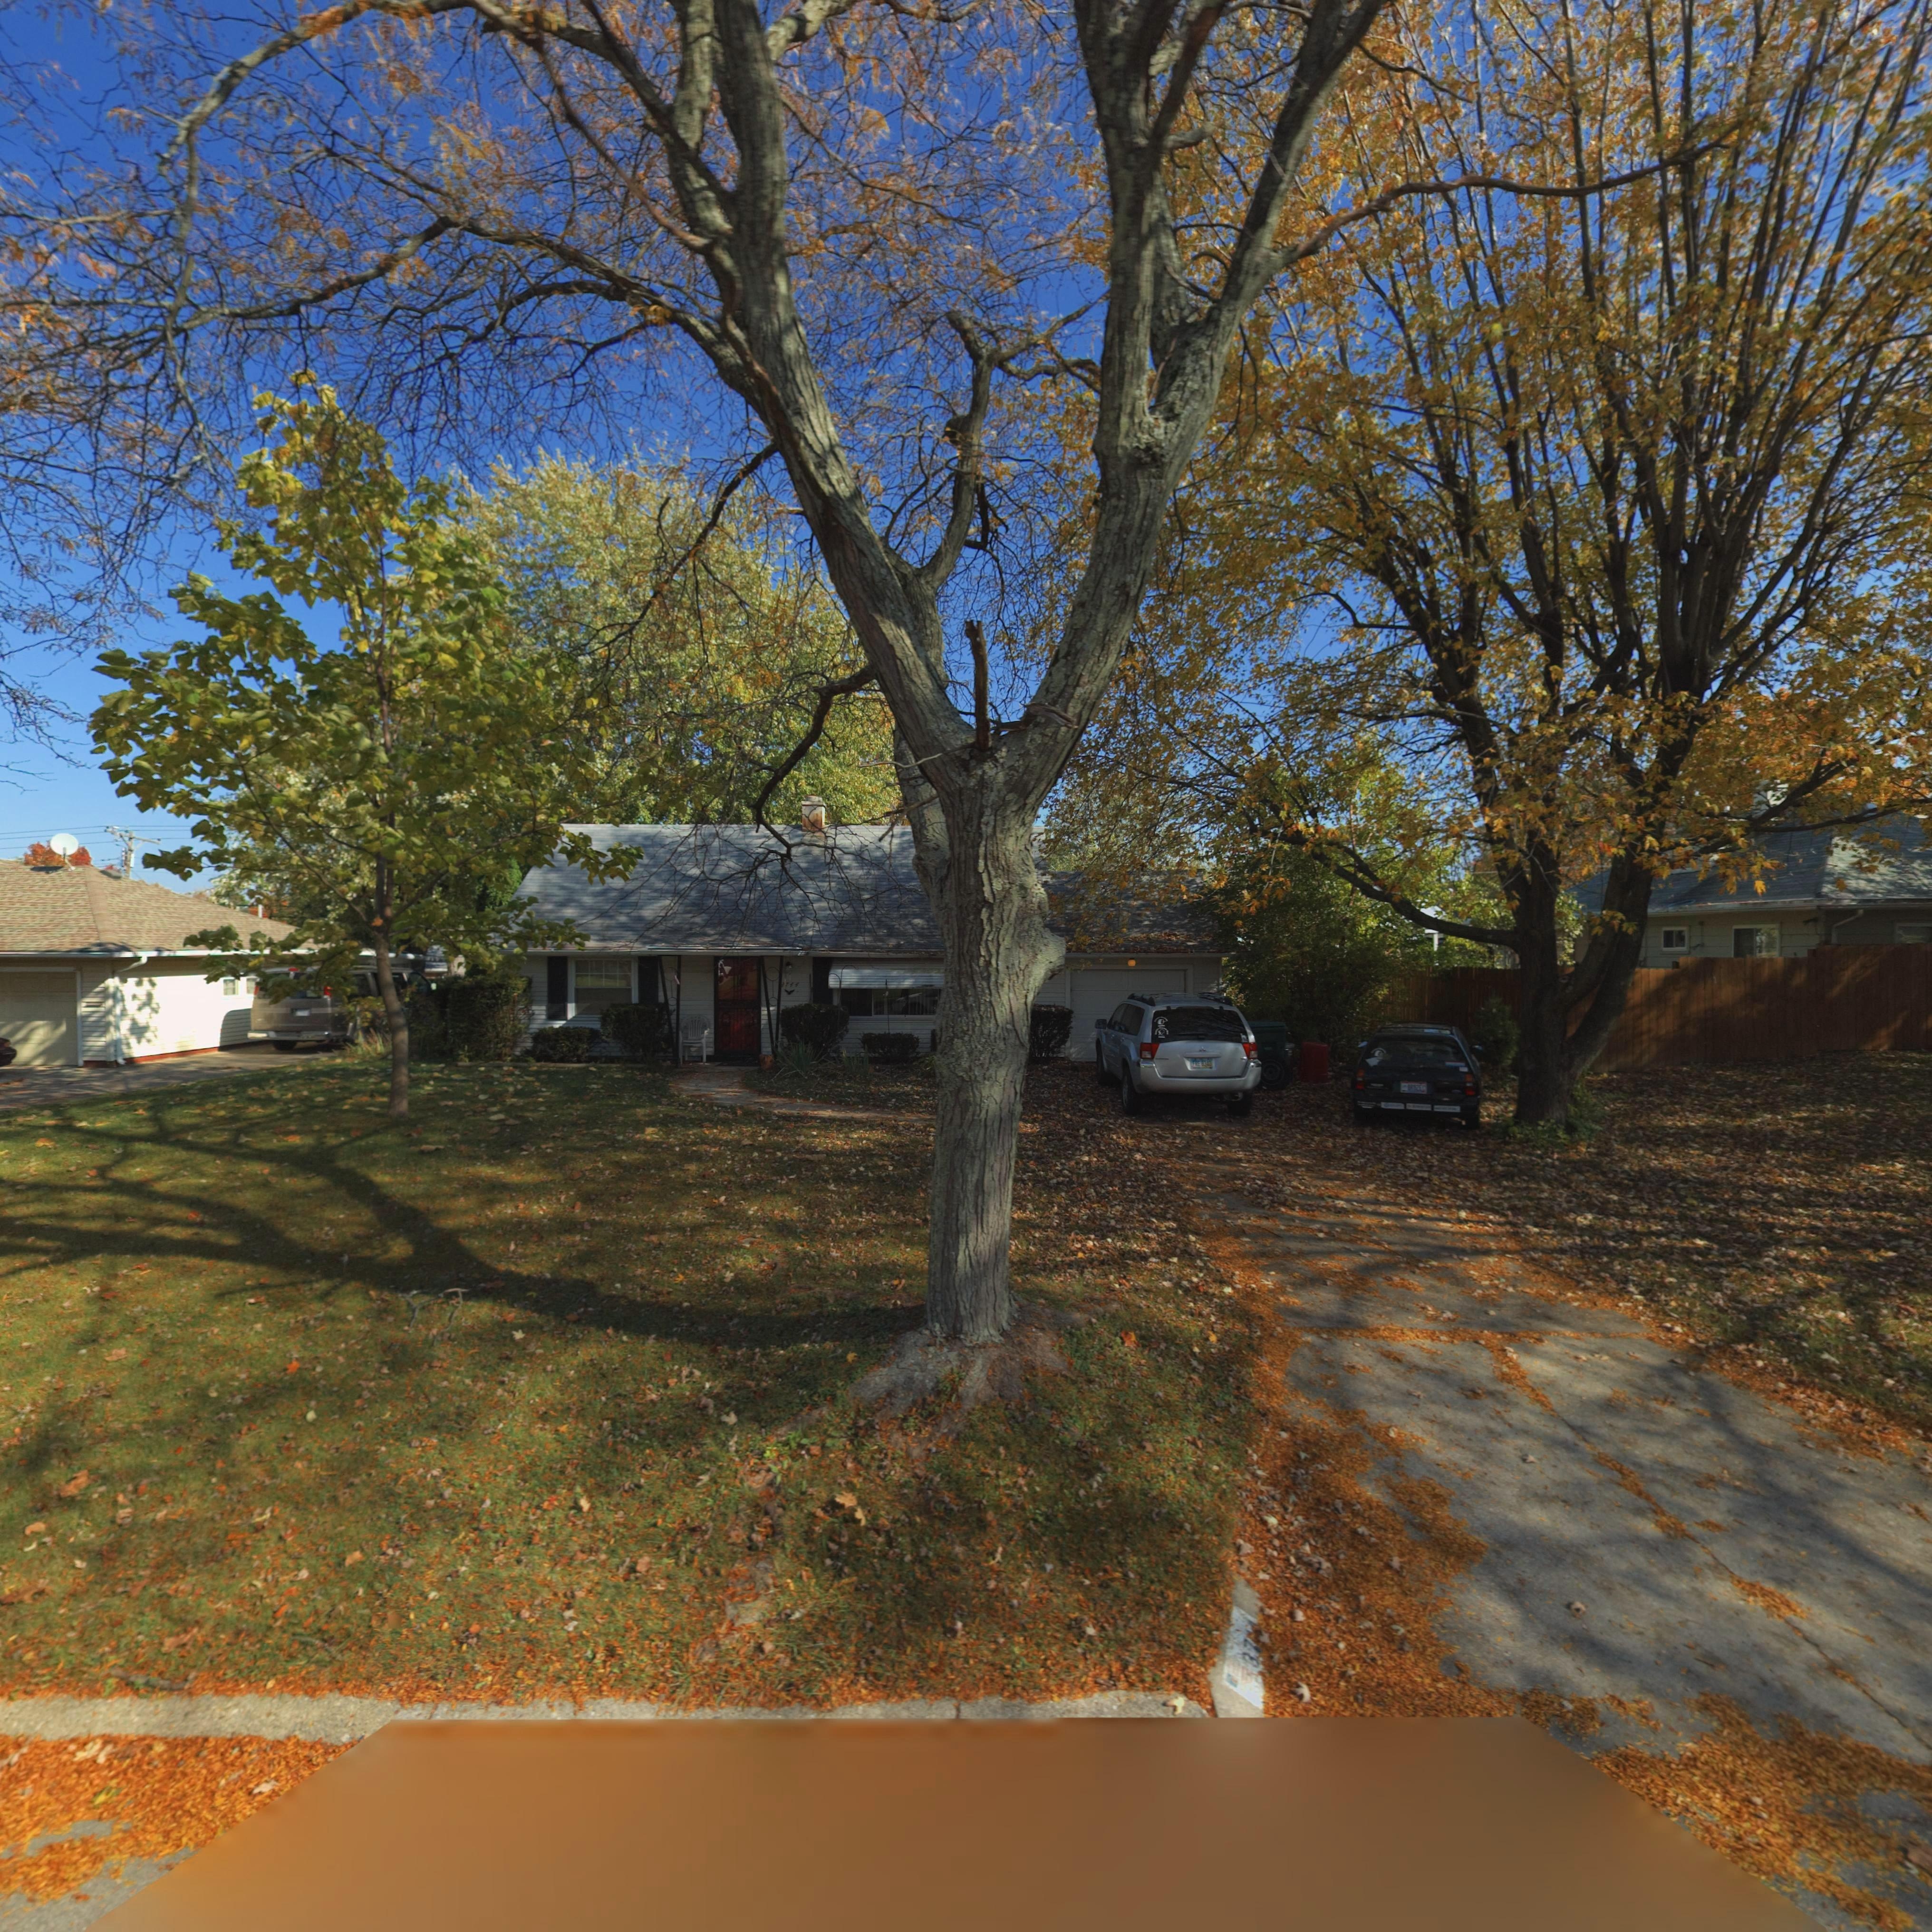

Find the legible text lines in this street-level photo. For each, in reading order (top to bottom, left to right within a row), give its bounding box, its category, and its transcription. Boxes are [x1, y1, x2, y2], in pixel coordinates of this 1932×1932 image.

[780, 981, 800, 988] StreetNumber: 3744
[1192, 1060, 1211, 1066] None: F*E *3**
[1416, 1084, 1426, 1092] None: 2E0